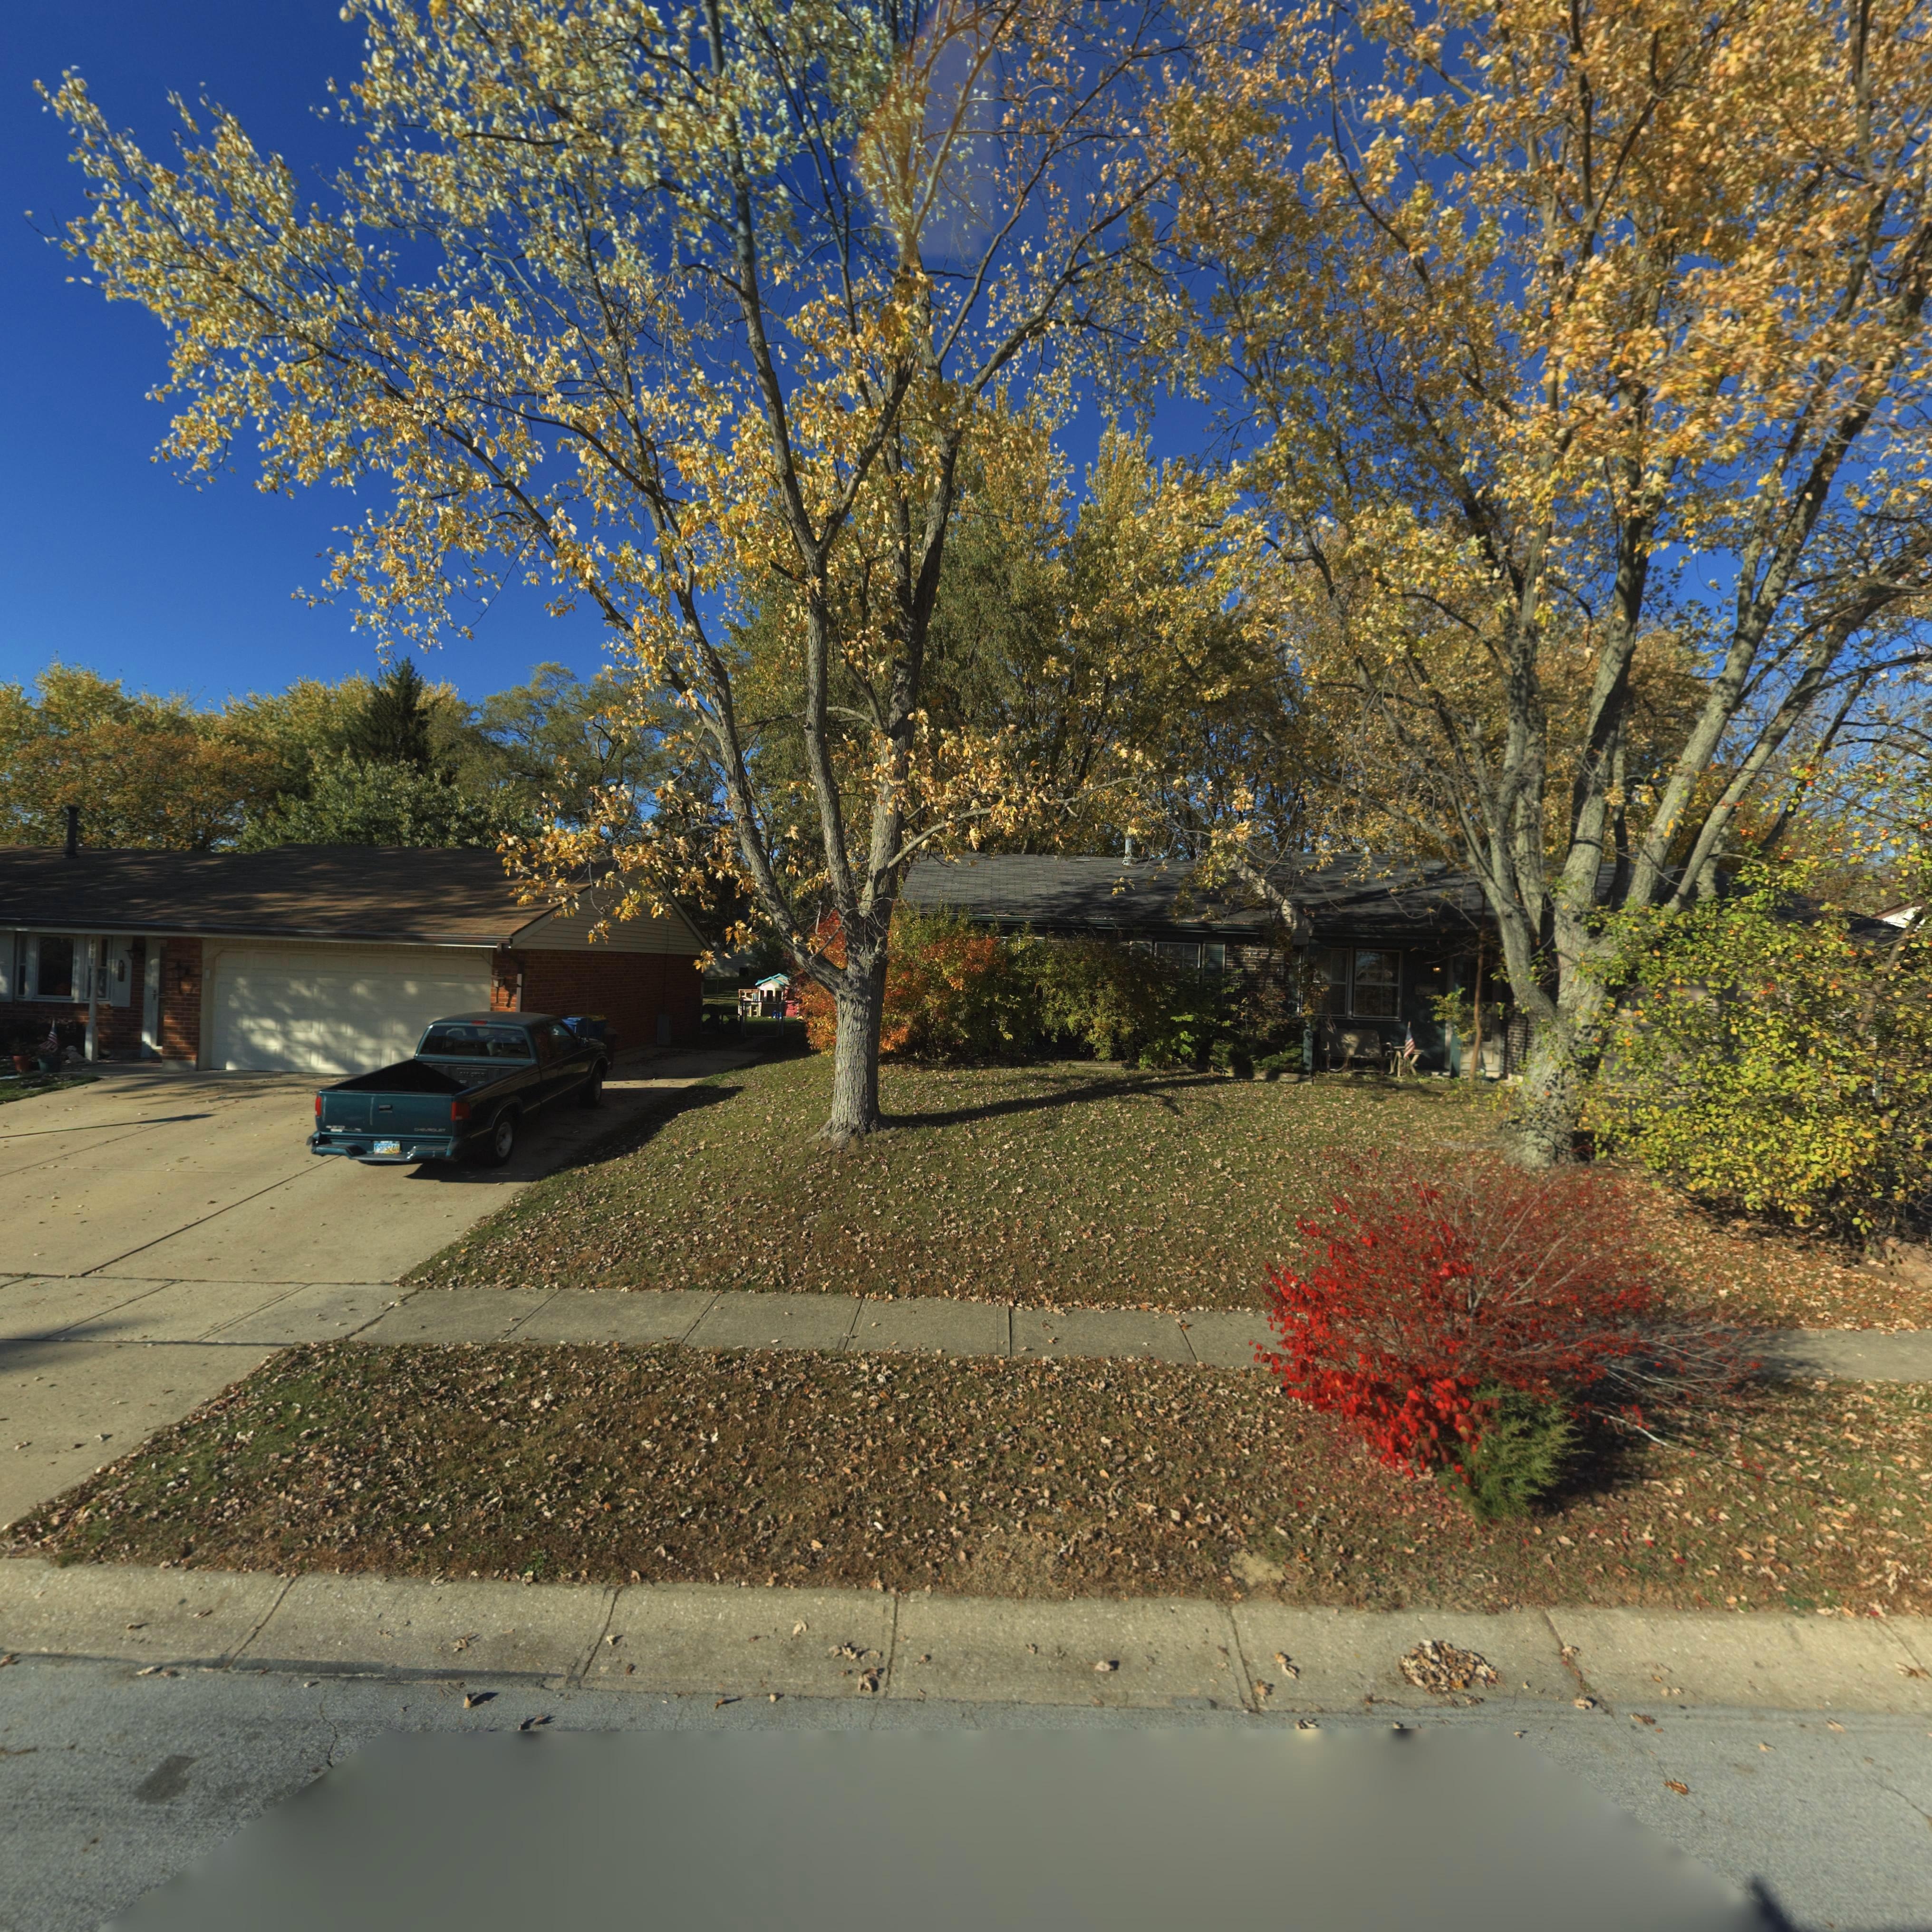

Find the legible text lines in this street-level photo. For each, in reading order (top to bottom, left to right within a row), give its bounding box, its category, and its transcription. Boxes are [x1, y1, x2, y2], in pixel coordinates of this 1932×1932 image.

[89, 937, 96, 966] StreetNumber: ***1